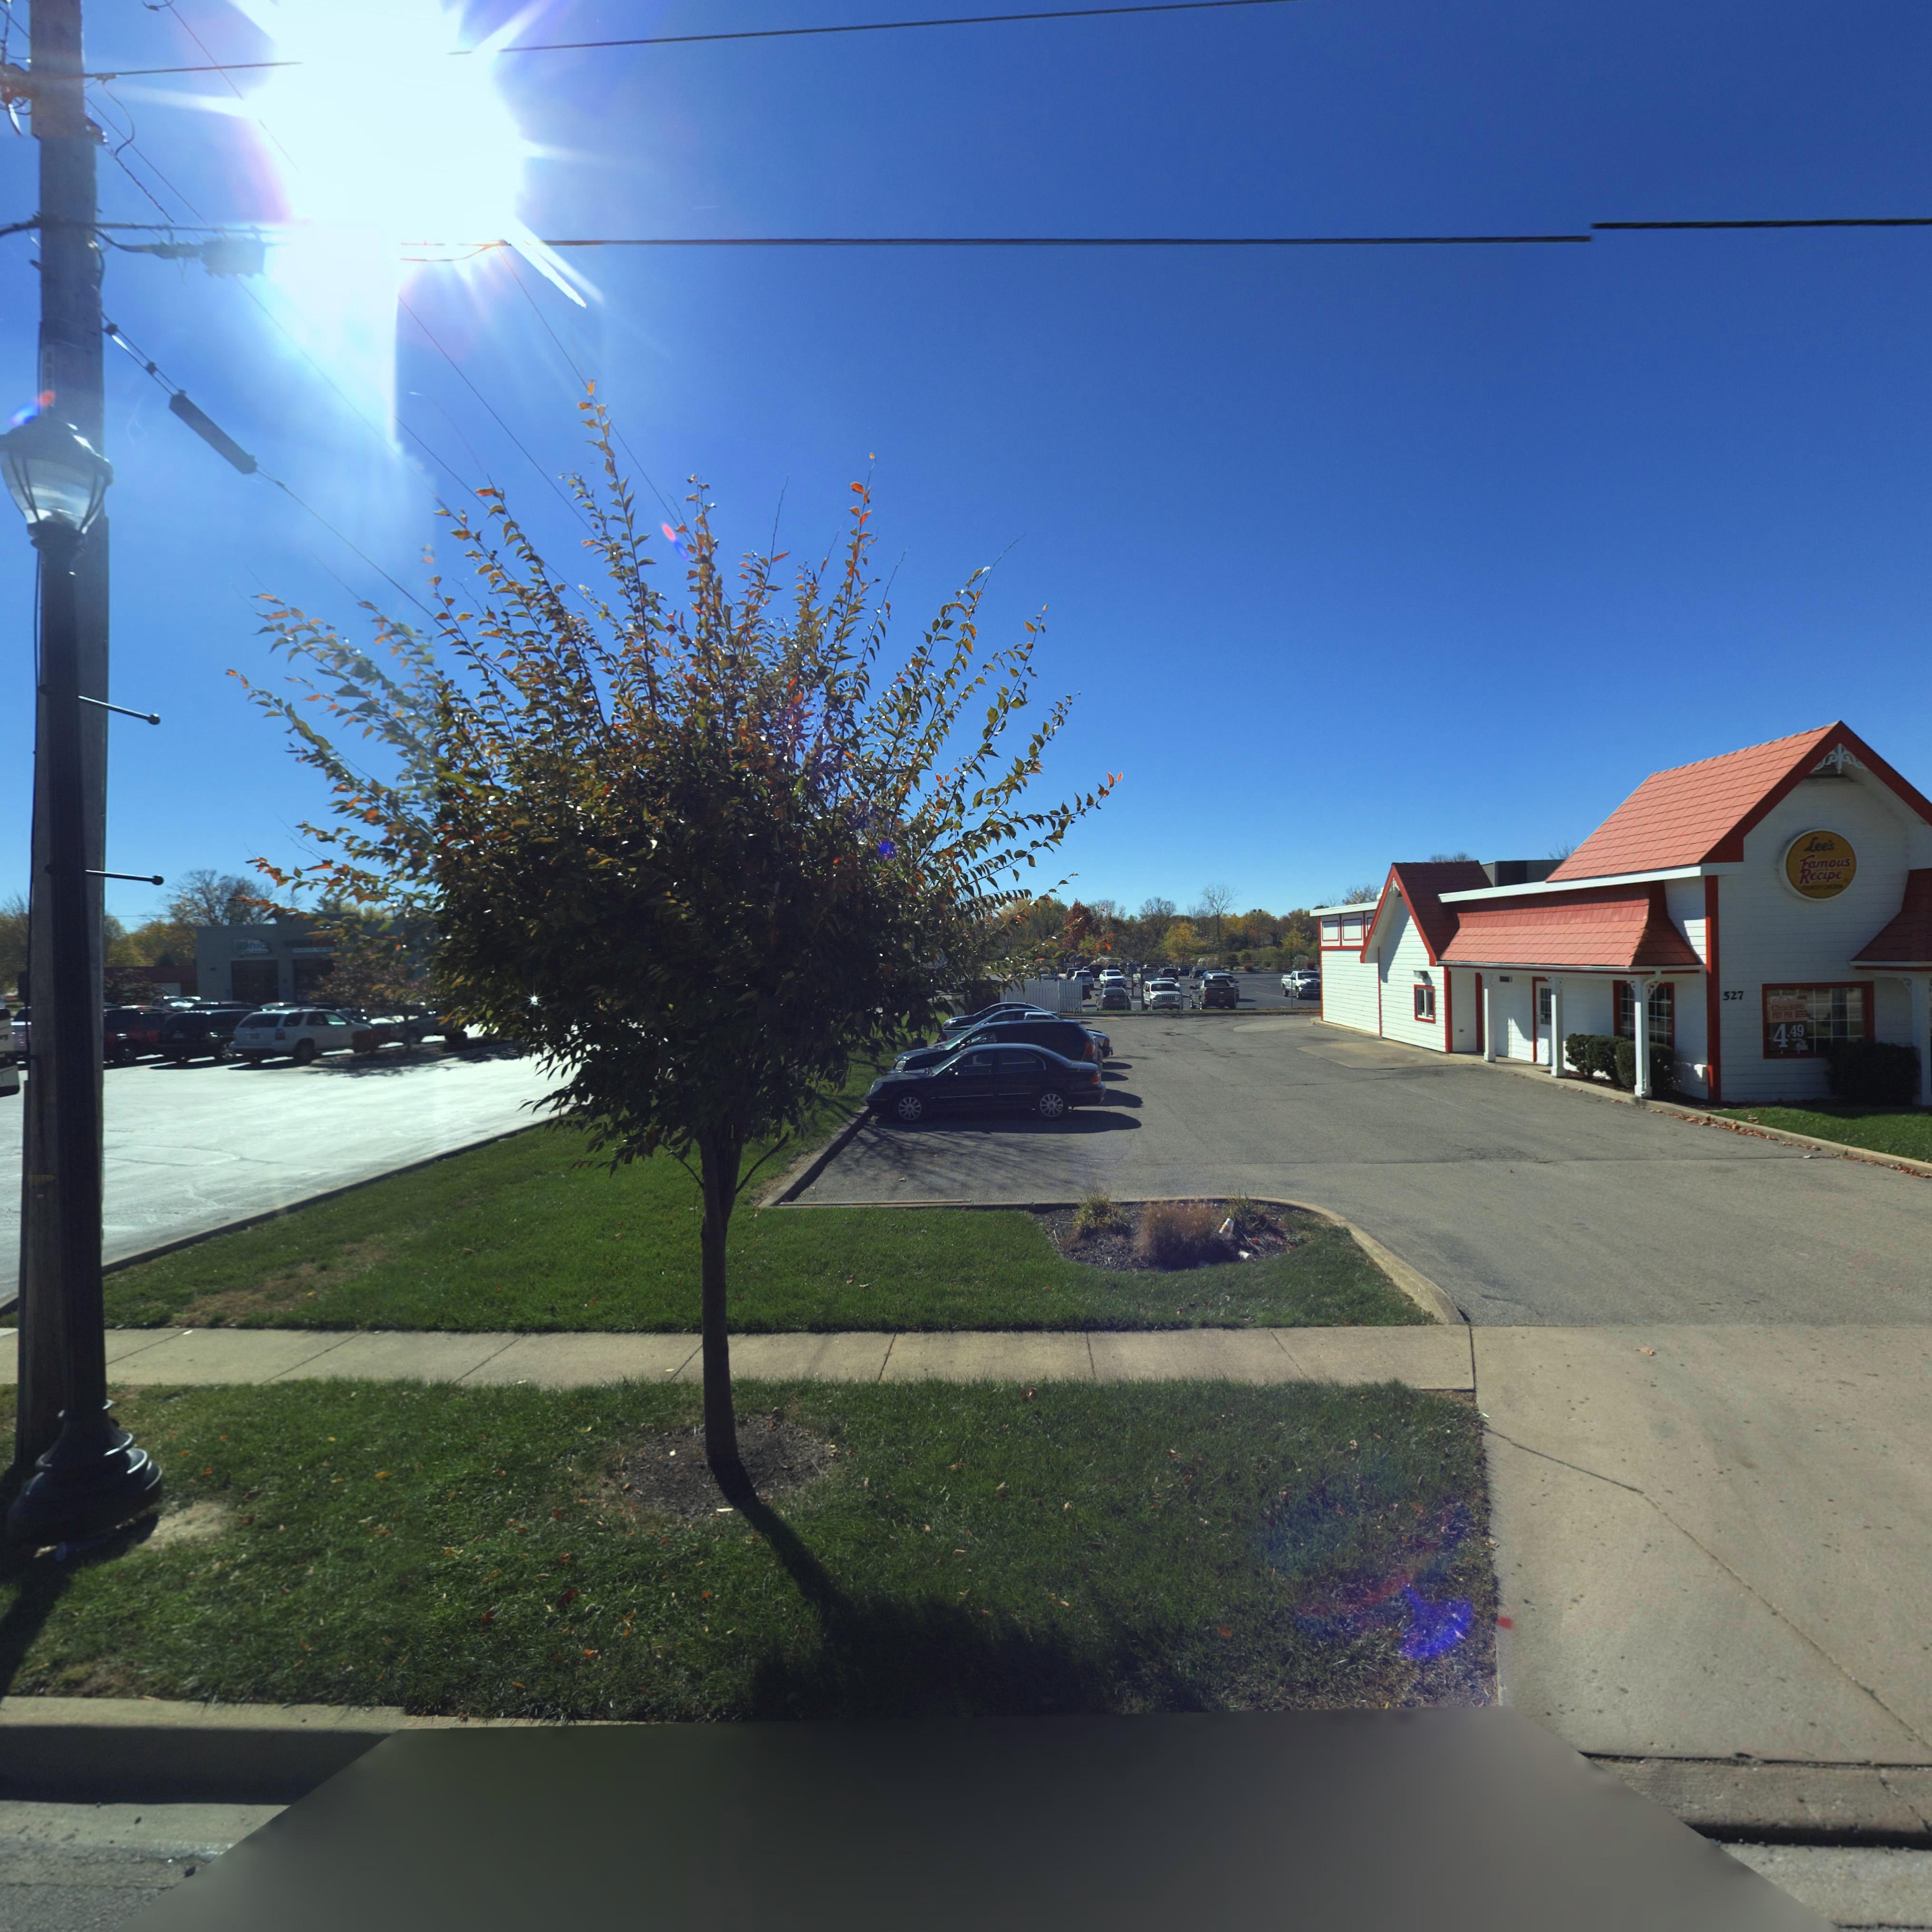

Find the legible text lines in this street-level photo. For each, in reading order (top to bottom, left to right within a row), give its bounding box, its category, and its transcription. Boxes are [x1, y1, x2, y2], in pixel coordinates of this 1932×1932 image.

[1802, 835, 1836, 853] BusinessName: Lee's
[1798, 853, 1852, 869] BusinessName: Famous
[1798, 868, 1845, 886] BusinessName: Recipe
[1722, 989, 1745, 1002] StreetNumber: 527